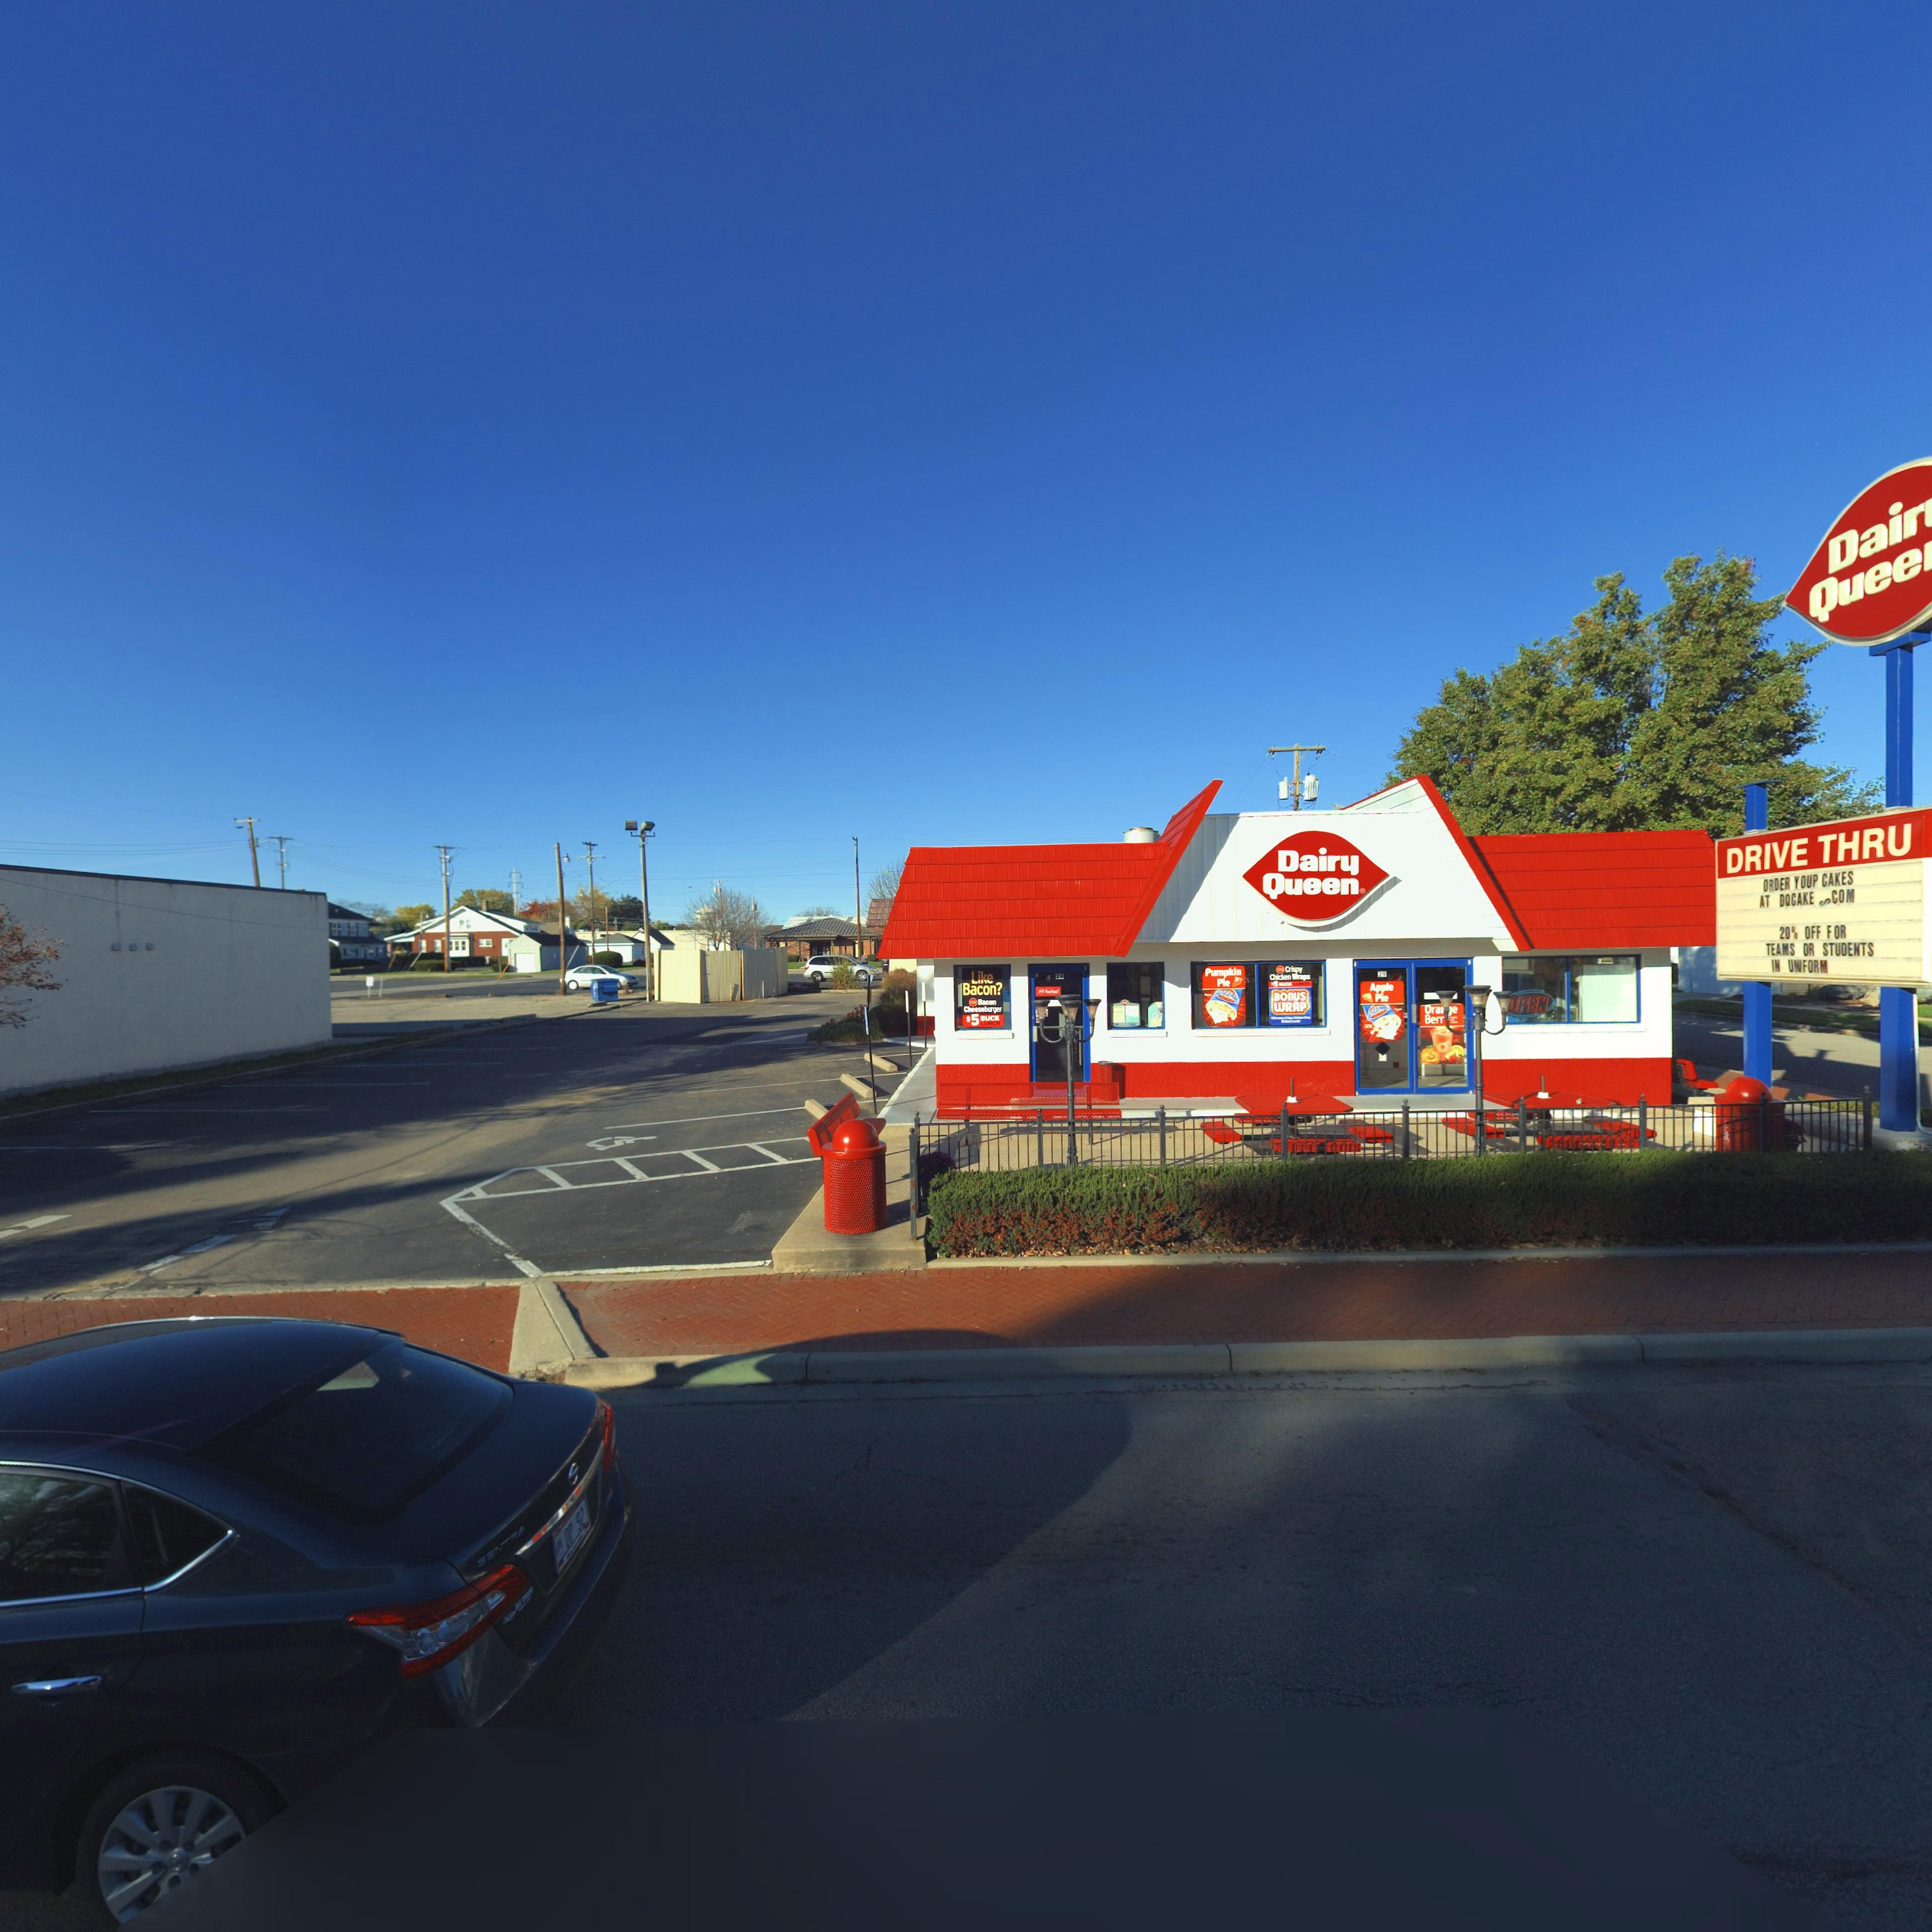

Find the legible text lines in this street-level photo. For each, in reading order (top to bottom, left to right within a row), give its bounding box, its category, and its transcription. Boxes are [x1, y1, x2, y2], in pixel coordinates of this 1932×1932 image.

[1827, 499, 1928, 577] BusinessName: Dair
[1805, 545, 1925, 625] BusinessName: Quee
[1724, 822, 1912, 875] None: DRIVE THRU
[1277, 845, 1361, 877] BusinessName: Dairy
[1259, 869, 1360, 901] BusinessName: Queen
[1760, 870, 1854, 892] None: ORDER YOUR CAKES
[1758, 888, 1856, 909] None: AT DQCAKE *COM
[1777, 924, 1846, 940] None: 20% OFF FOR
[1762, 942, 1875, 957] None: TEAMS OR STUDENTS
[969, 969, 994, 984] None: Like
[960, 980, 1003, 997] None: Bacon?
[1055, 974, 1063, 979] StreetNumber: 29
[1216, 977, 1230, 987] None: Pie
[1204, 967, 1242, 978] None: Pumpkin
[1267, 972, 1311, 981] None: Chicken Wings
[1285, 965, 1303, 974] None: Crispy
[1368, 980, 1394, 993] None: Apple
[1378, 971, 1386, 977] StreetNumber: 29
[1769, 958, 1827, 974] None: IN UNIFORM
[963, 1005, 1003, 1013] None: Cheeseburger
[977, 998, 996, 1005] None: Bacon
[1374, 992, 1389, 1002] None: Pie
[1423, 1002, 1458, 1016] None: Ora**e
[1504, 989, 1550, 1015] None: OPEN
[969, 1012, 979, 1026] None: 5
[980, 1014, 999, 1021] None: BUCK
[1424, 1013, 1445, 1025] None: Berr